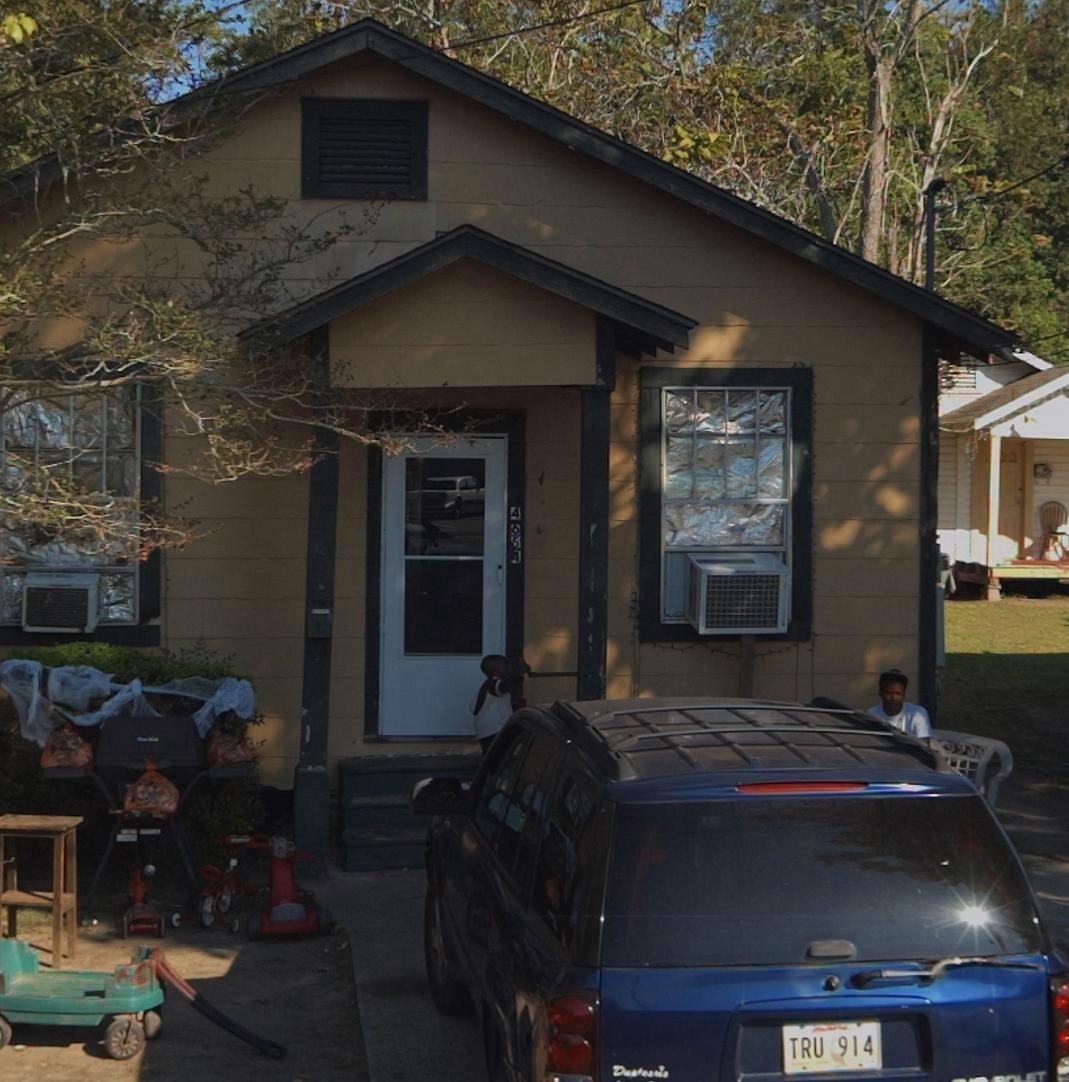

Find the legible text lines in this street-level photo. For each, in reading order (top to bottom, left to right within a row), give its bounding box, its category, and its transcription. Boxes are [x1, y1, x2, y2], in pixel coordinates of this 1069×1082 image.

[511, 506, 521, 563] StreetNumber: 4654
[788, 1033, 874, 1061] None: TRU*914